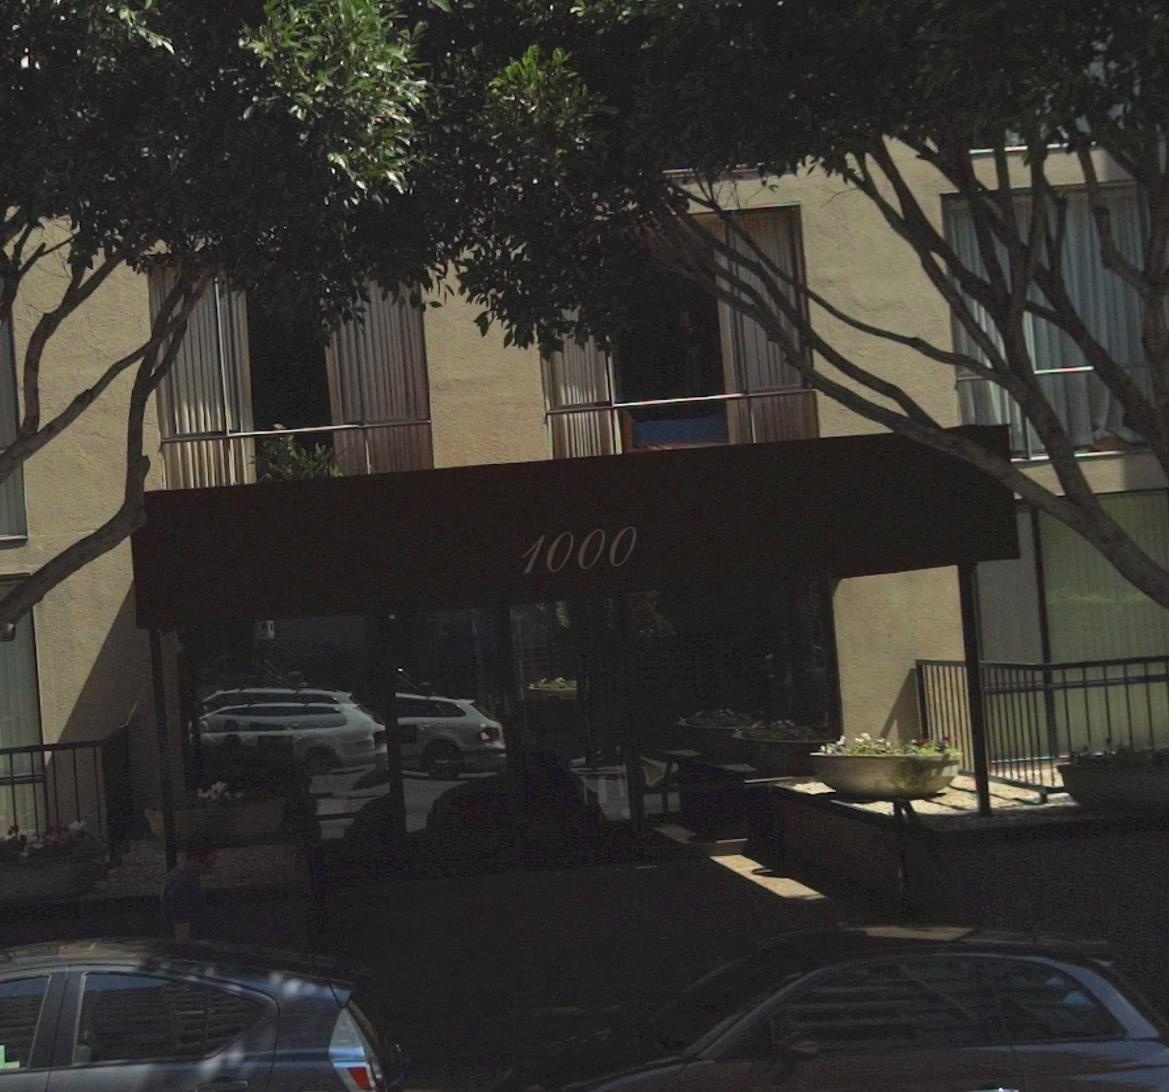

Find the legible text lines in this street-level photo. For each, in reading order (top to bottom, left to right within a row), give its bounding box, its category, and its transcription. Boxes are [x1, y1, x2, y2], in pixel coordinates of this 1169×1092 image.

[515, 522, 641, 580] StreetNumber: 1000